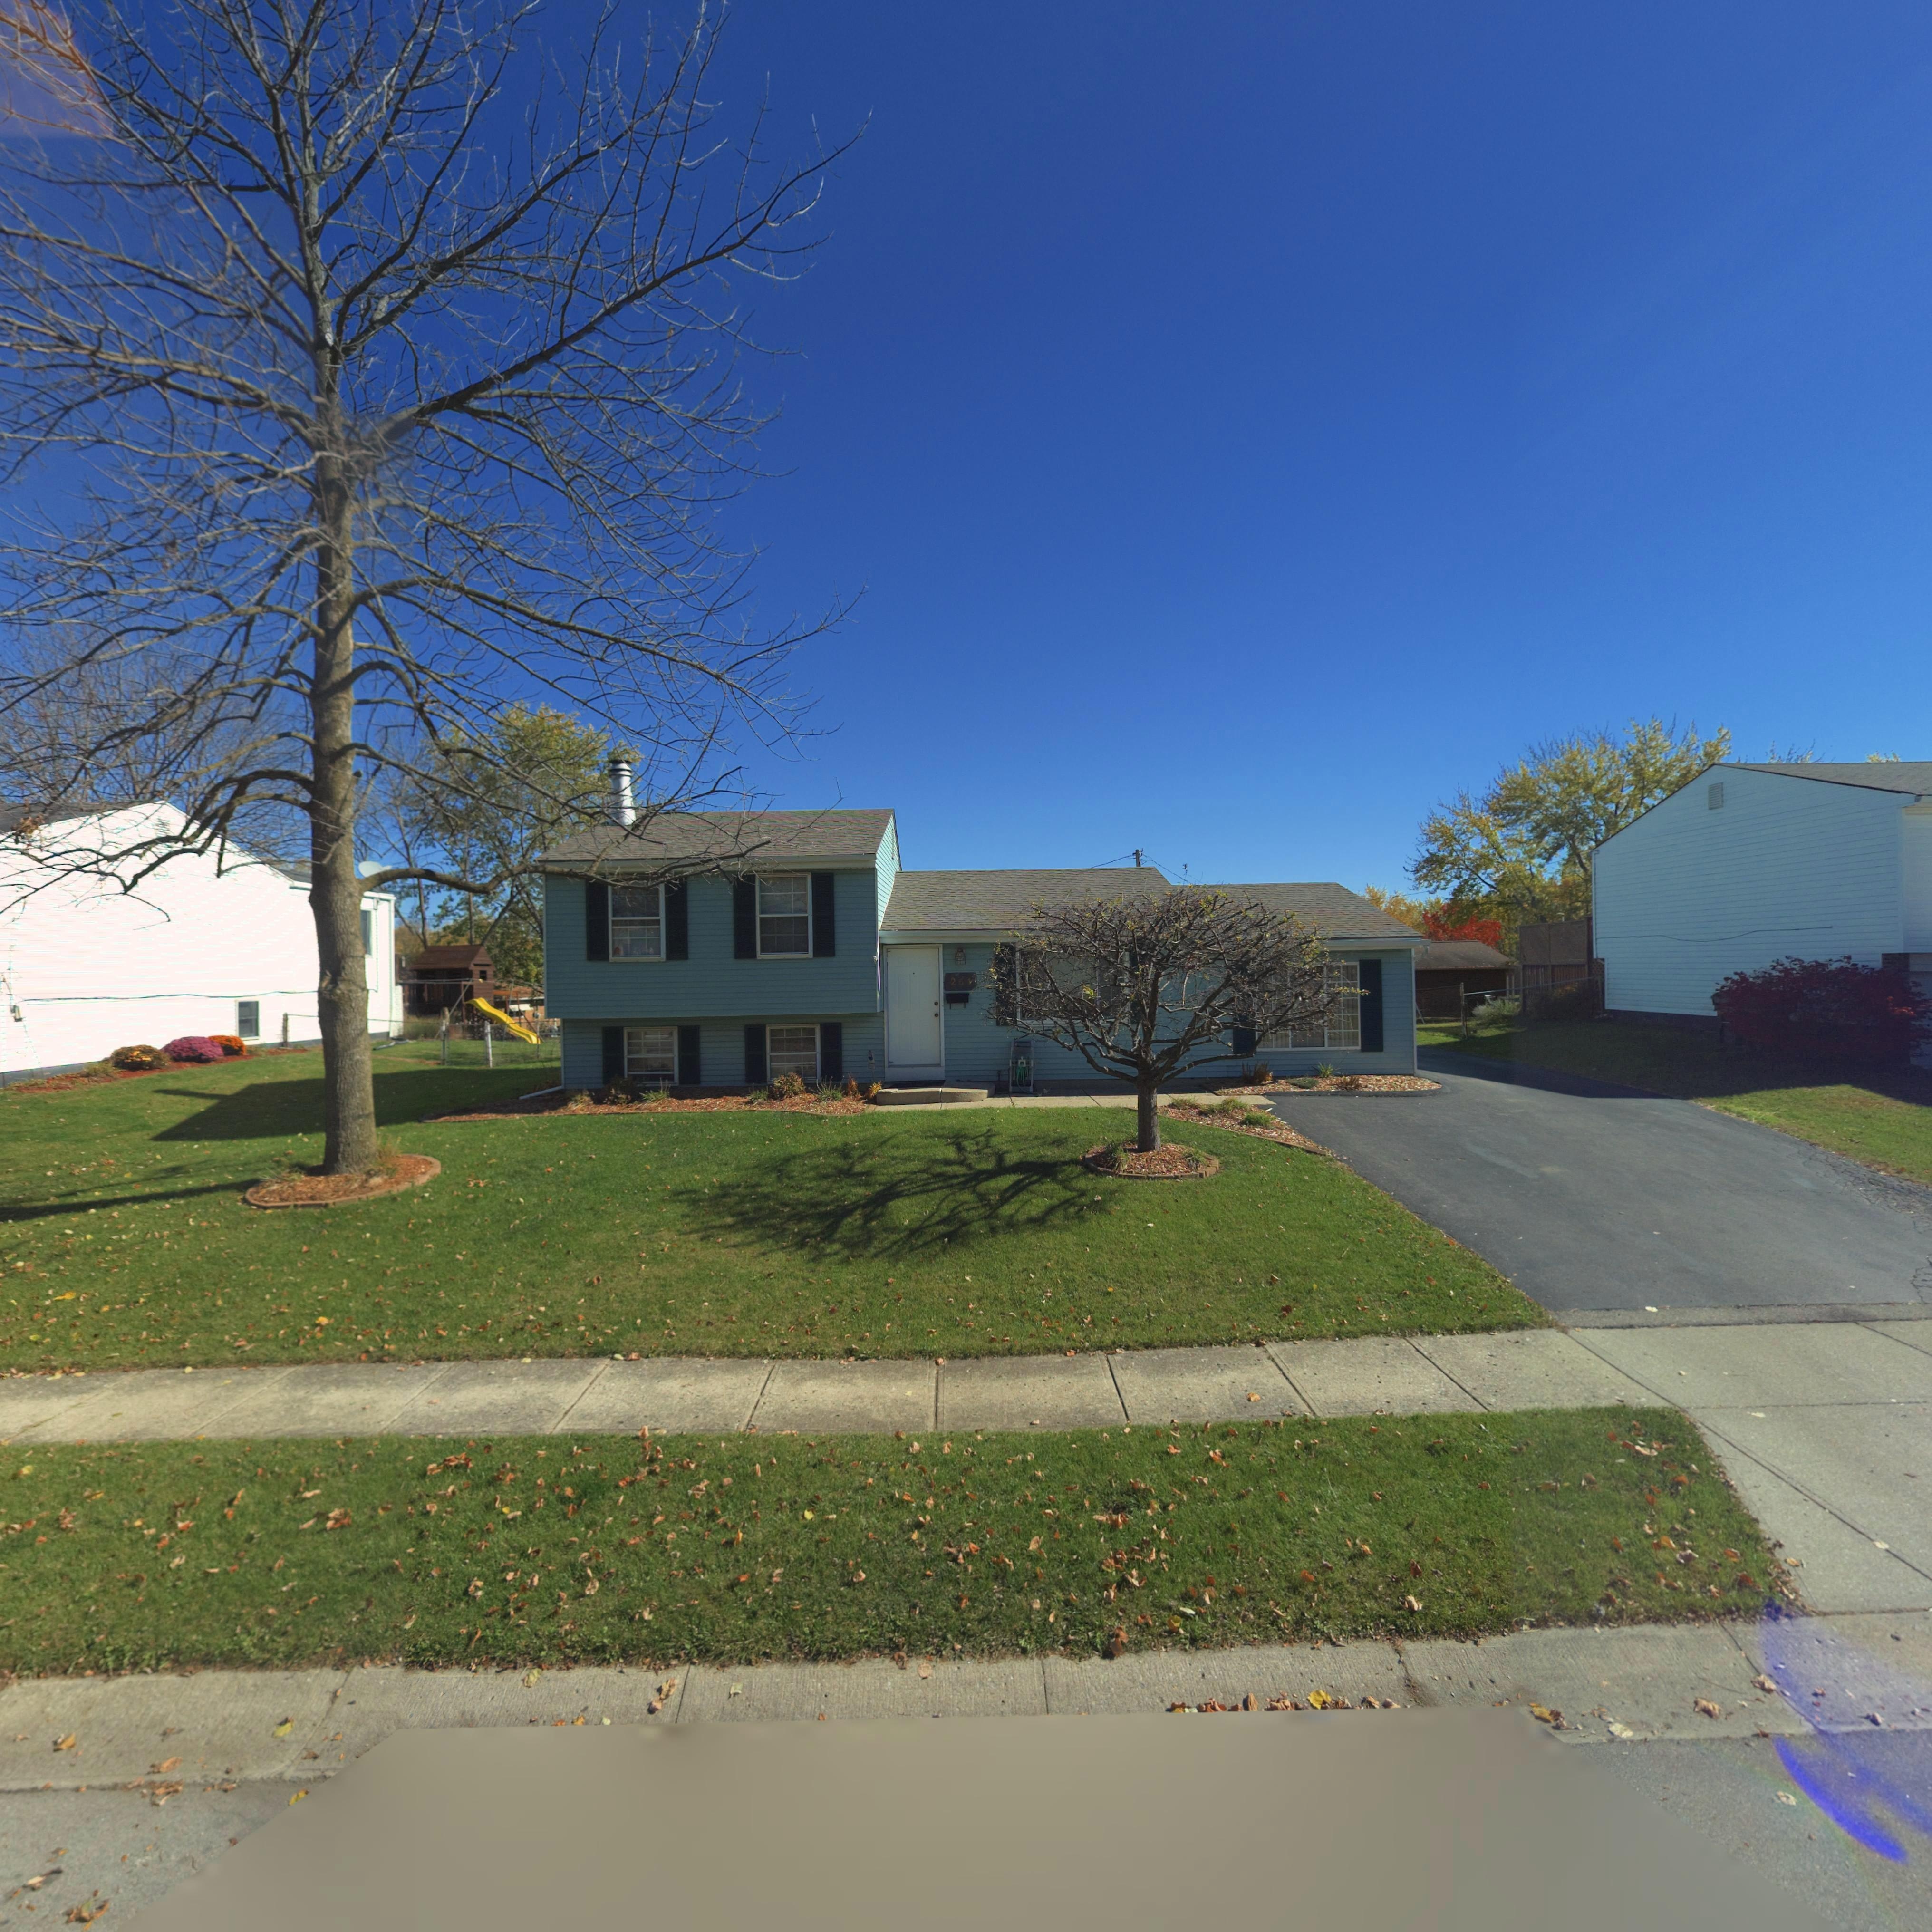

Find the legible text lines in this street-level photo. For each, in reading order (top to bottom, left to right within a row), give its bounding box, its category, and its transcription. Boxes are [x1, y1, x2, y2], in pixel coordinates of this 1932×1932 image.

[949, 976, 972, 986] StreetNumber: 251